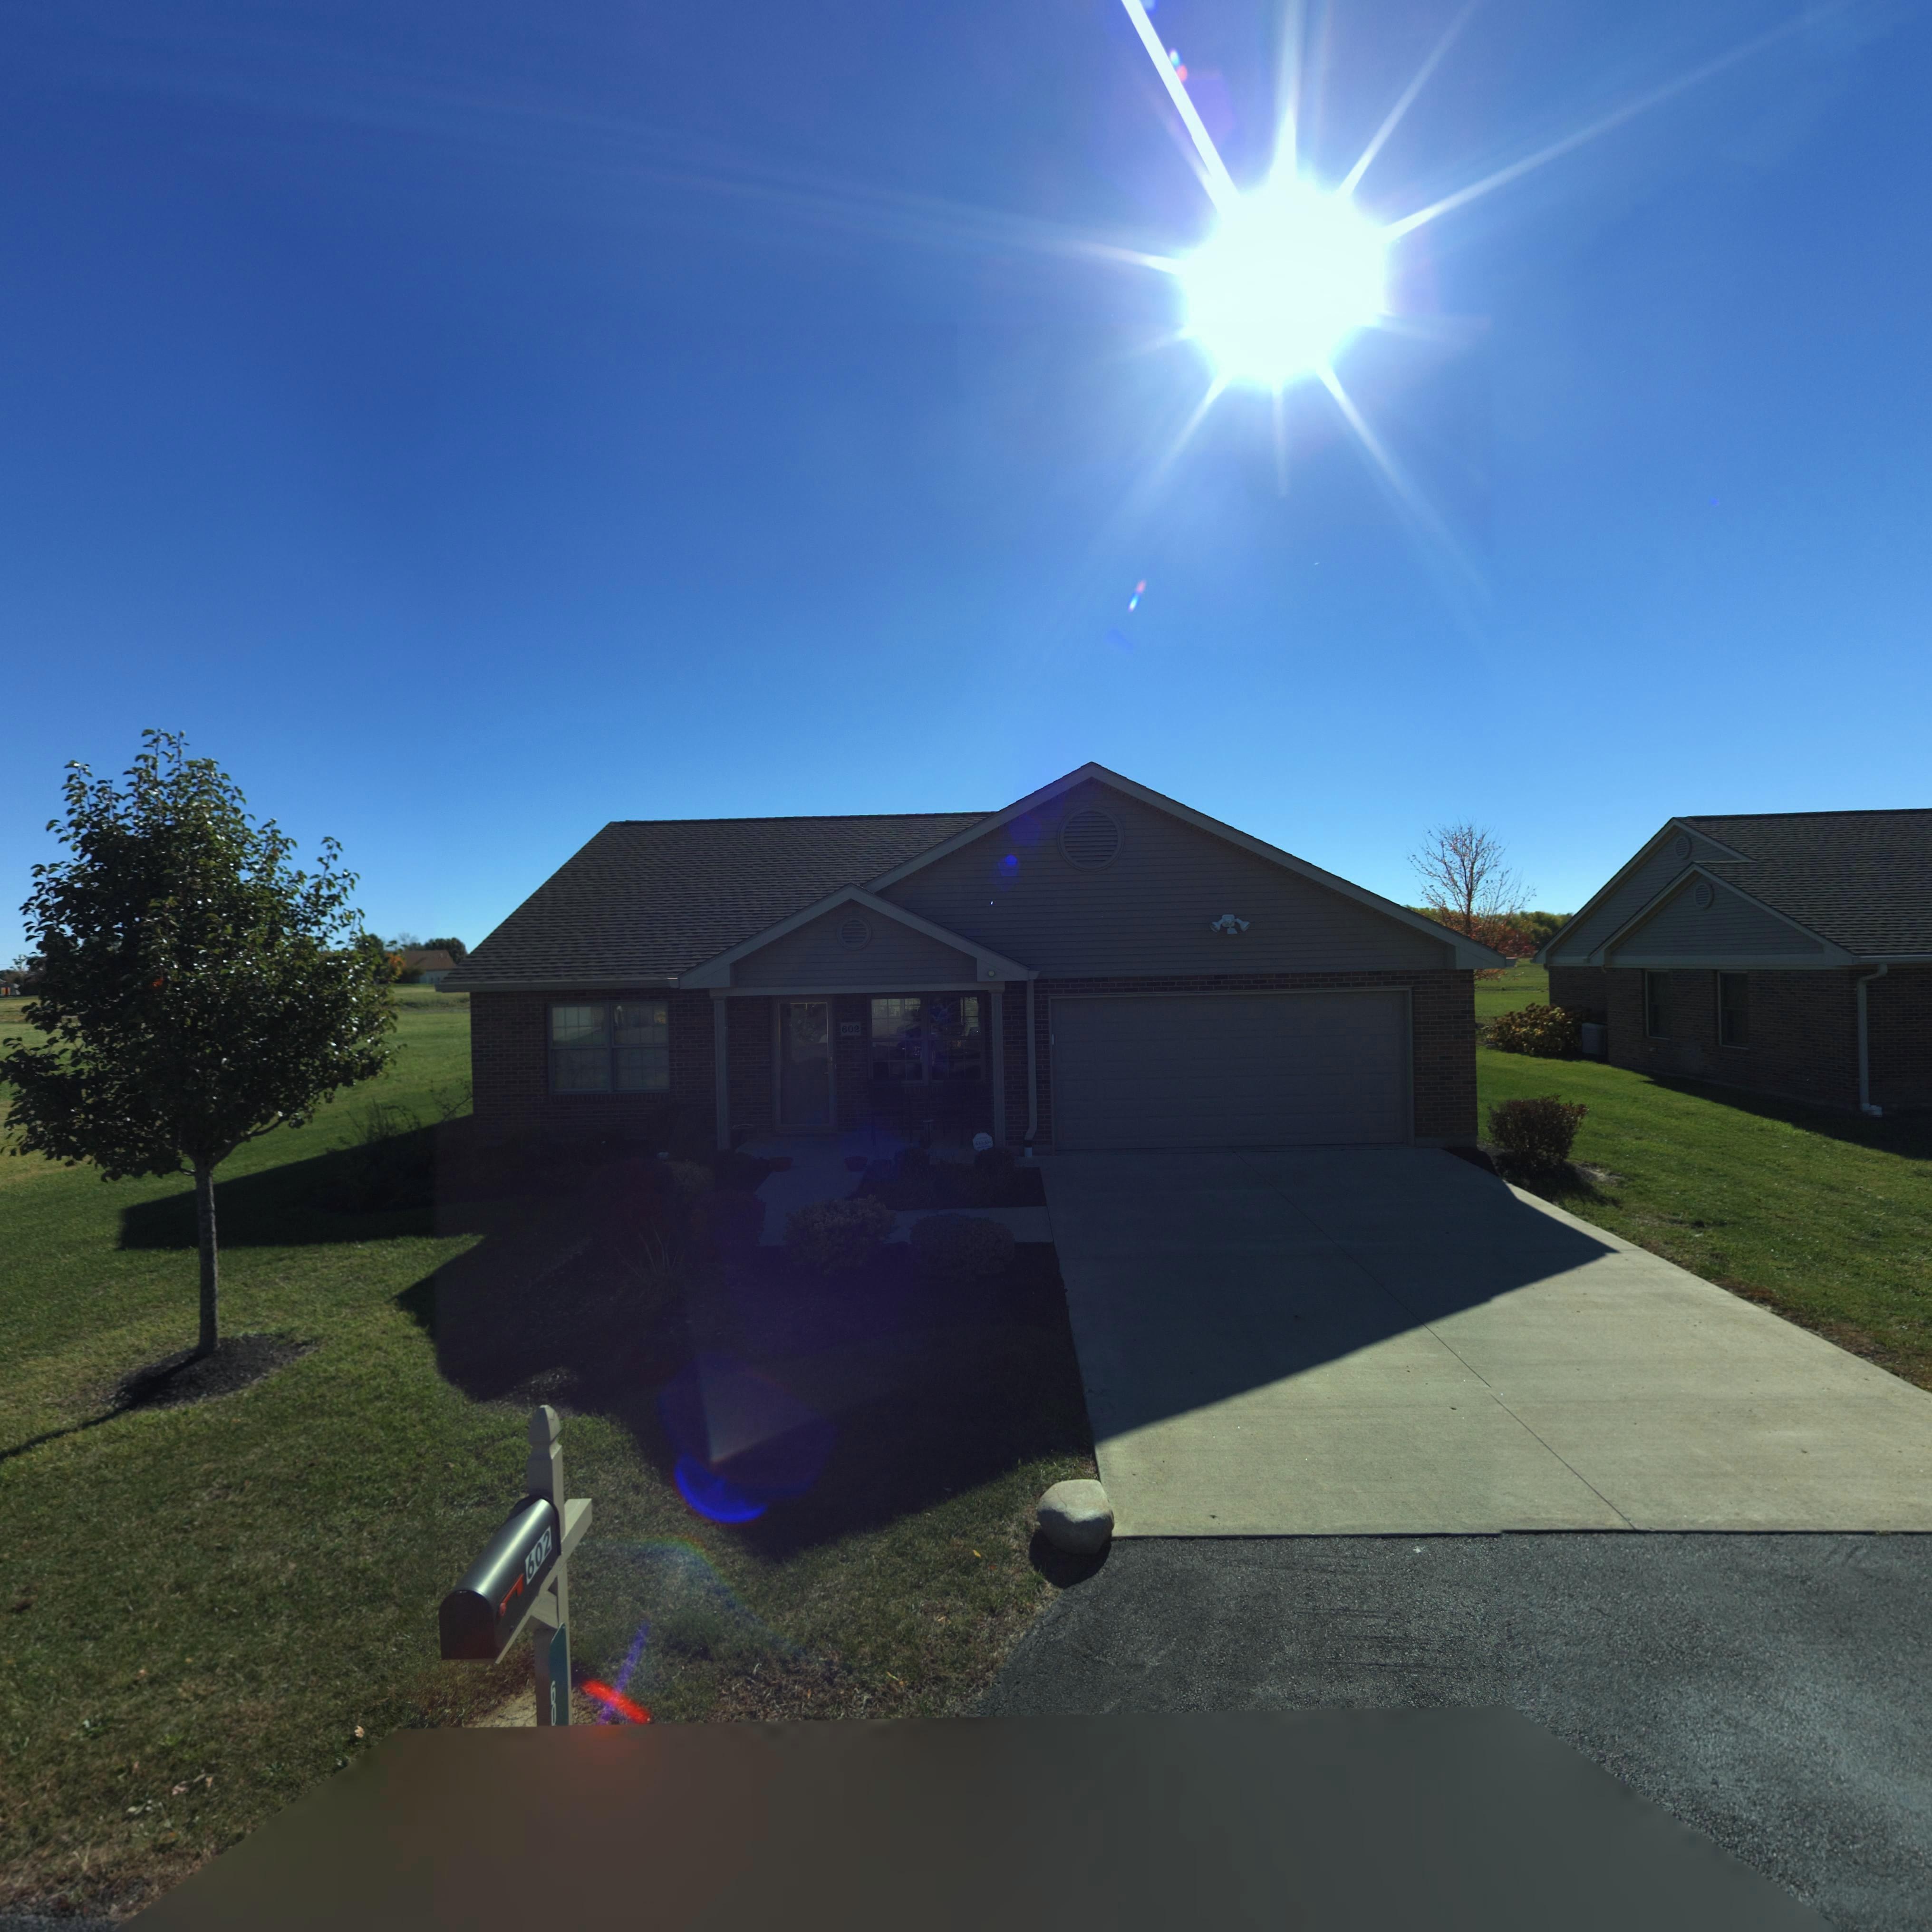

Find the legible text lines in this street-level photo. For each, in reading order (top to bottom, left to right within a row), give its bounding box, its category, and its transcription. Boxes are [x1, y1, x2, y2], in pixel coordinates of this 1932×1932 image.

[841, 1024, 860, 1034] StreetNumber: 602
[527, 1529, 551, 1581] StreetNumber: 602
[550, 1678, 557, 1728] StreetNumber: 60